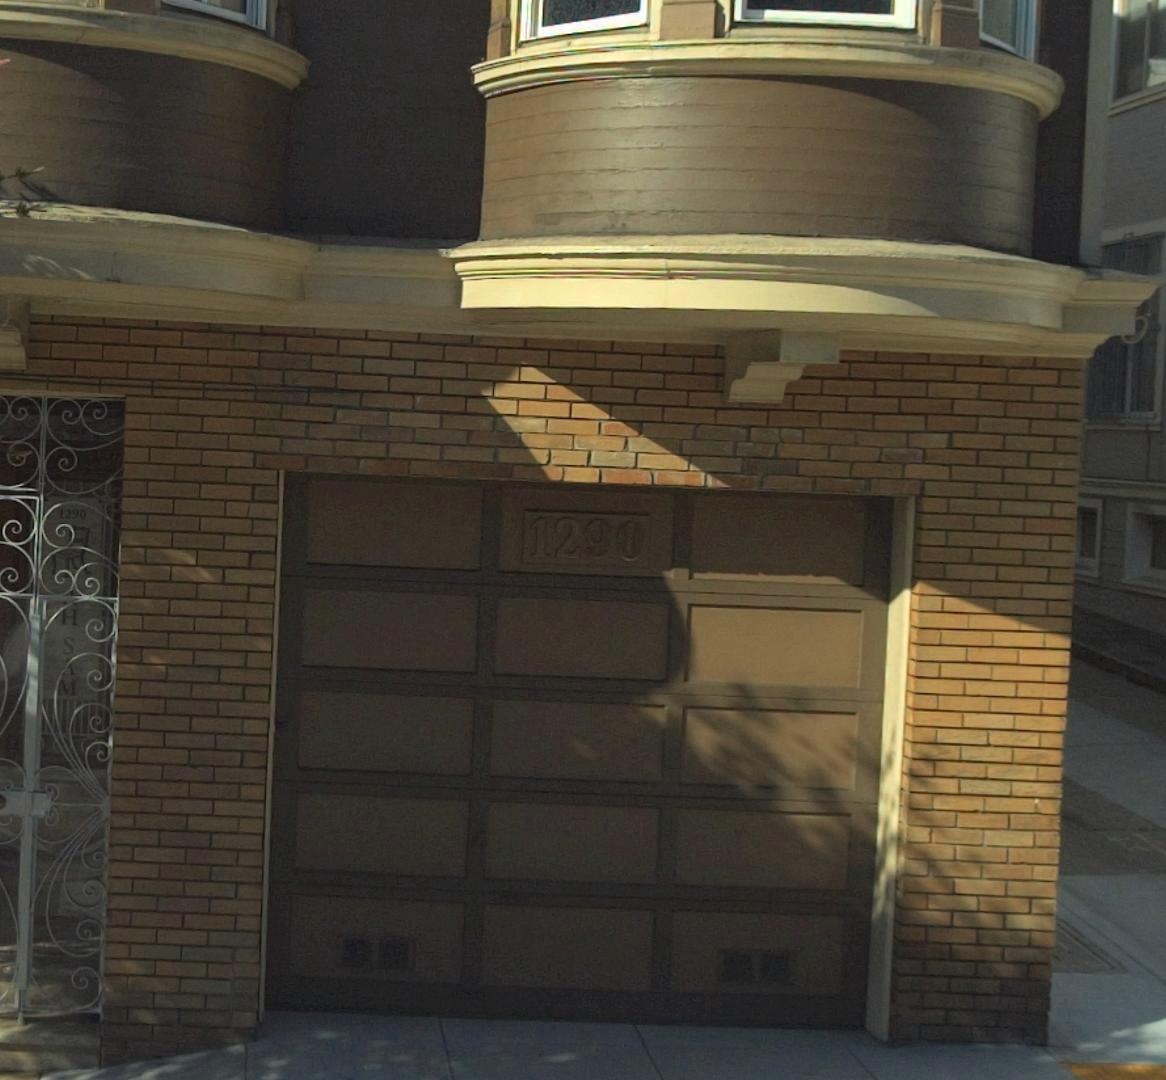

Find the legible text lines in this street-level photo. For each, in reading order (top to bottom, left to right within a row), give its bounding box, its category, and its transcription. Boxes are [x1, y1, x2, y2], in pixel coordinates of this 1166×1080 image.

[528, 514, 646, 564] StreetNumber: 1290